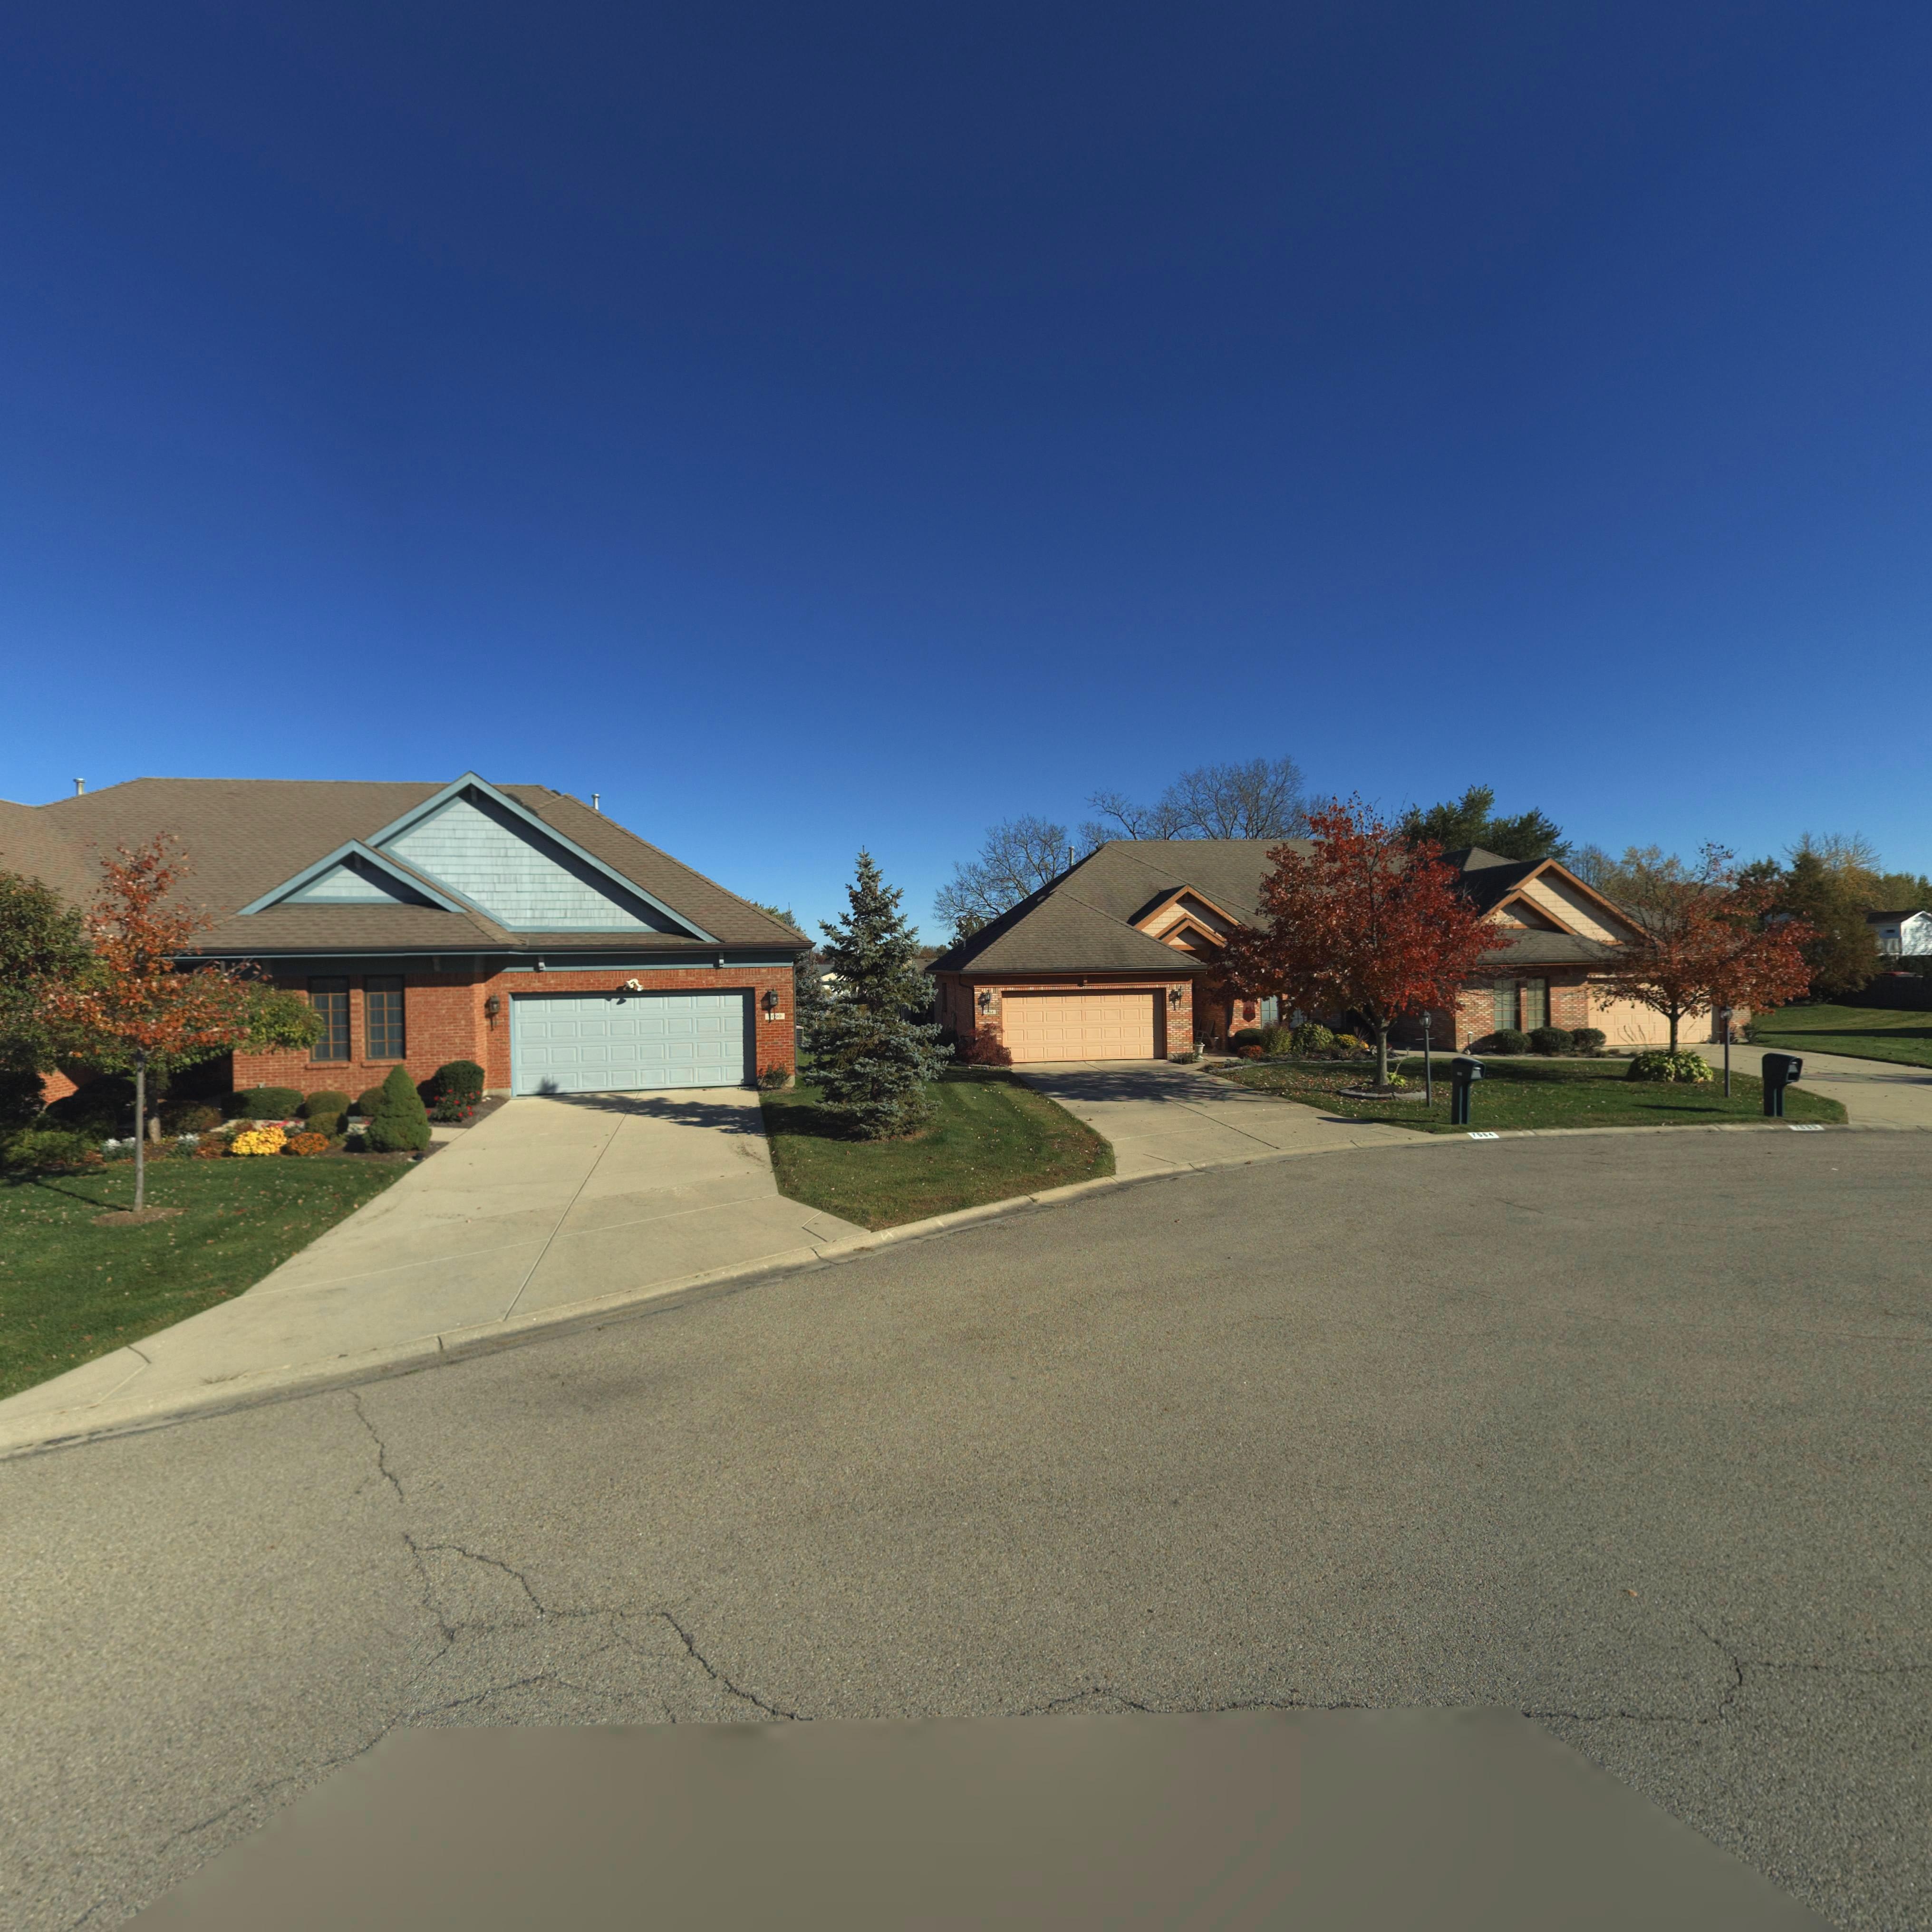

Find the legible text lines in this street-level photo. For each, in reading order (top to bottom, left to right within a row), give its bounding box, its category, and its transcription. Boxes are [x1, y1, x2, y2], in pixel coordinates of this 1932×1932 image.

[984, 1010, 994, 1014] StreetNumber: 7084
[768, 1014, 782, 1019] StreetNumber: 7090
[1791, 1124, 1820, 1130] StreetNumber: 7080
[1470, 1132, 1495, 1138] StreetNumber: 7084